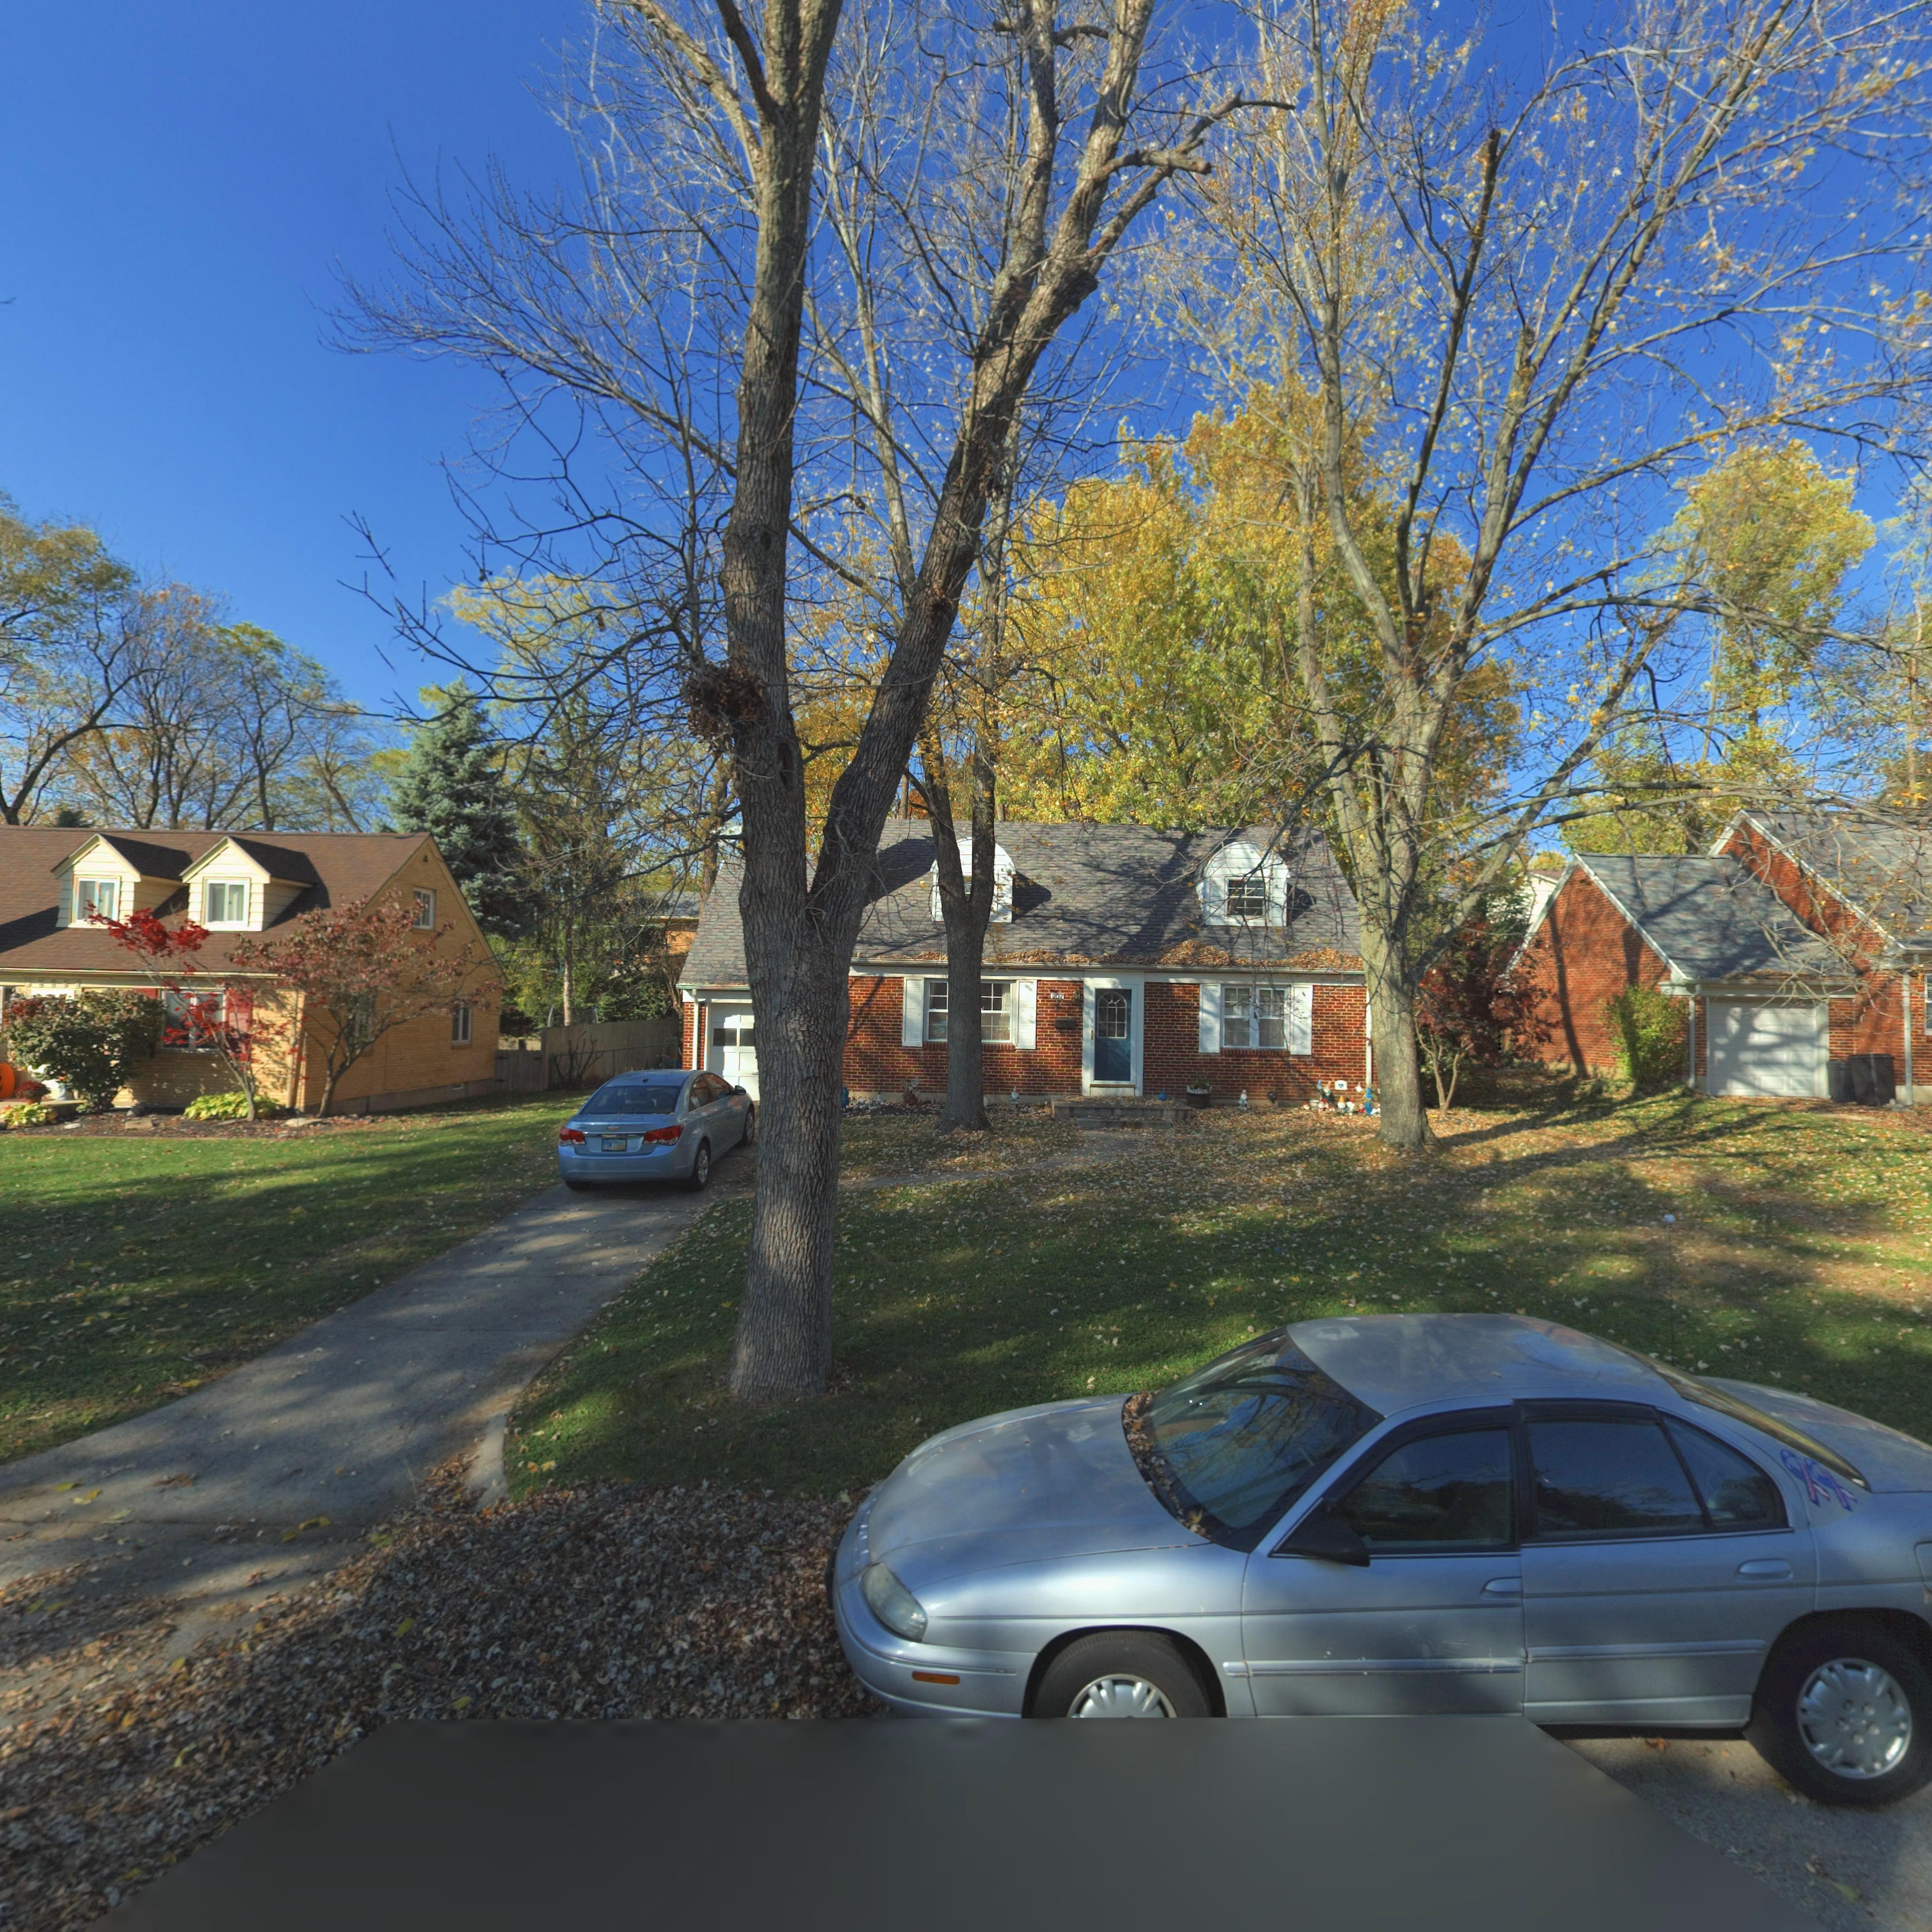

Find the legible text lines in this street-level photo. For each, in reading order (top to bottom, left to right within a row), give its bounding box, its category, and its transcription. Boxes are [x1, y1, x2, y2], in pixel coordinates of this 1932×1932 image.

[1051, 993, 1064, 1000] StreetNumber: 207